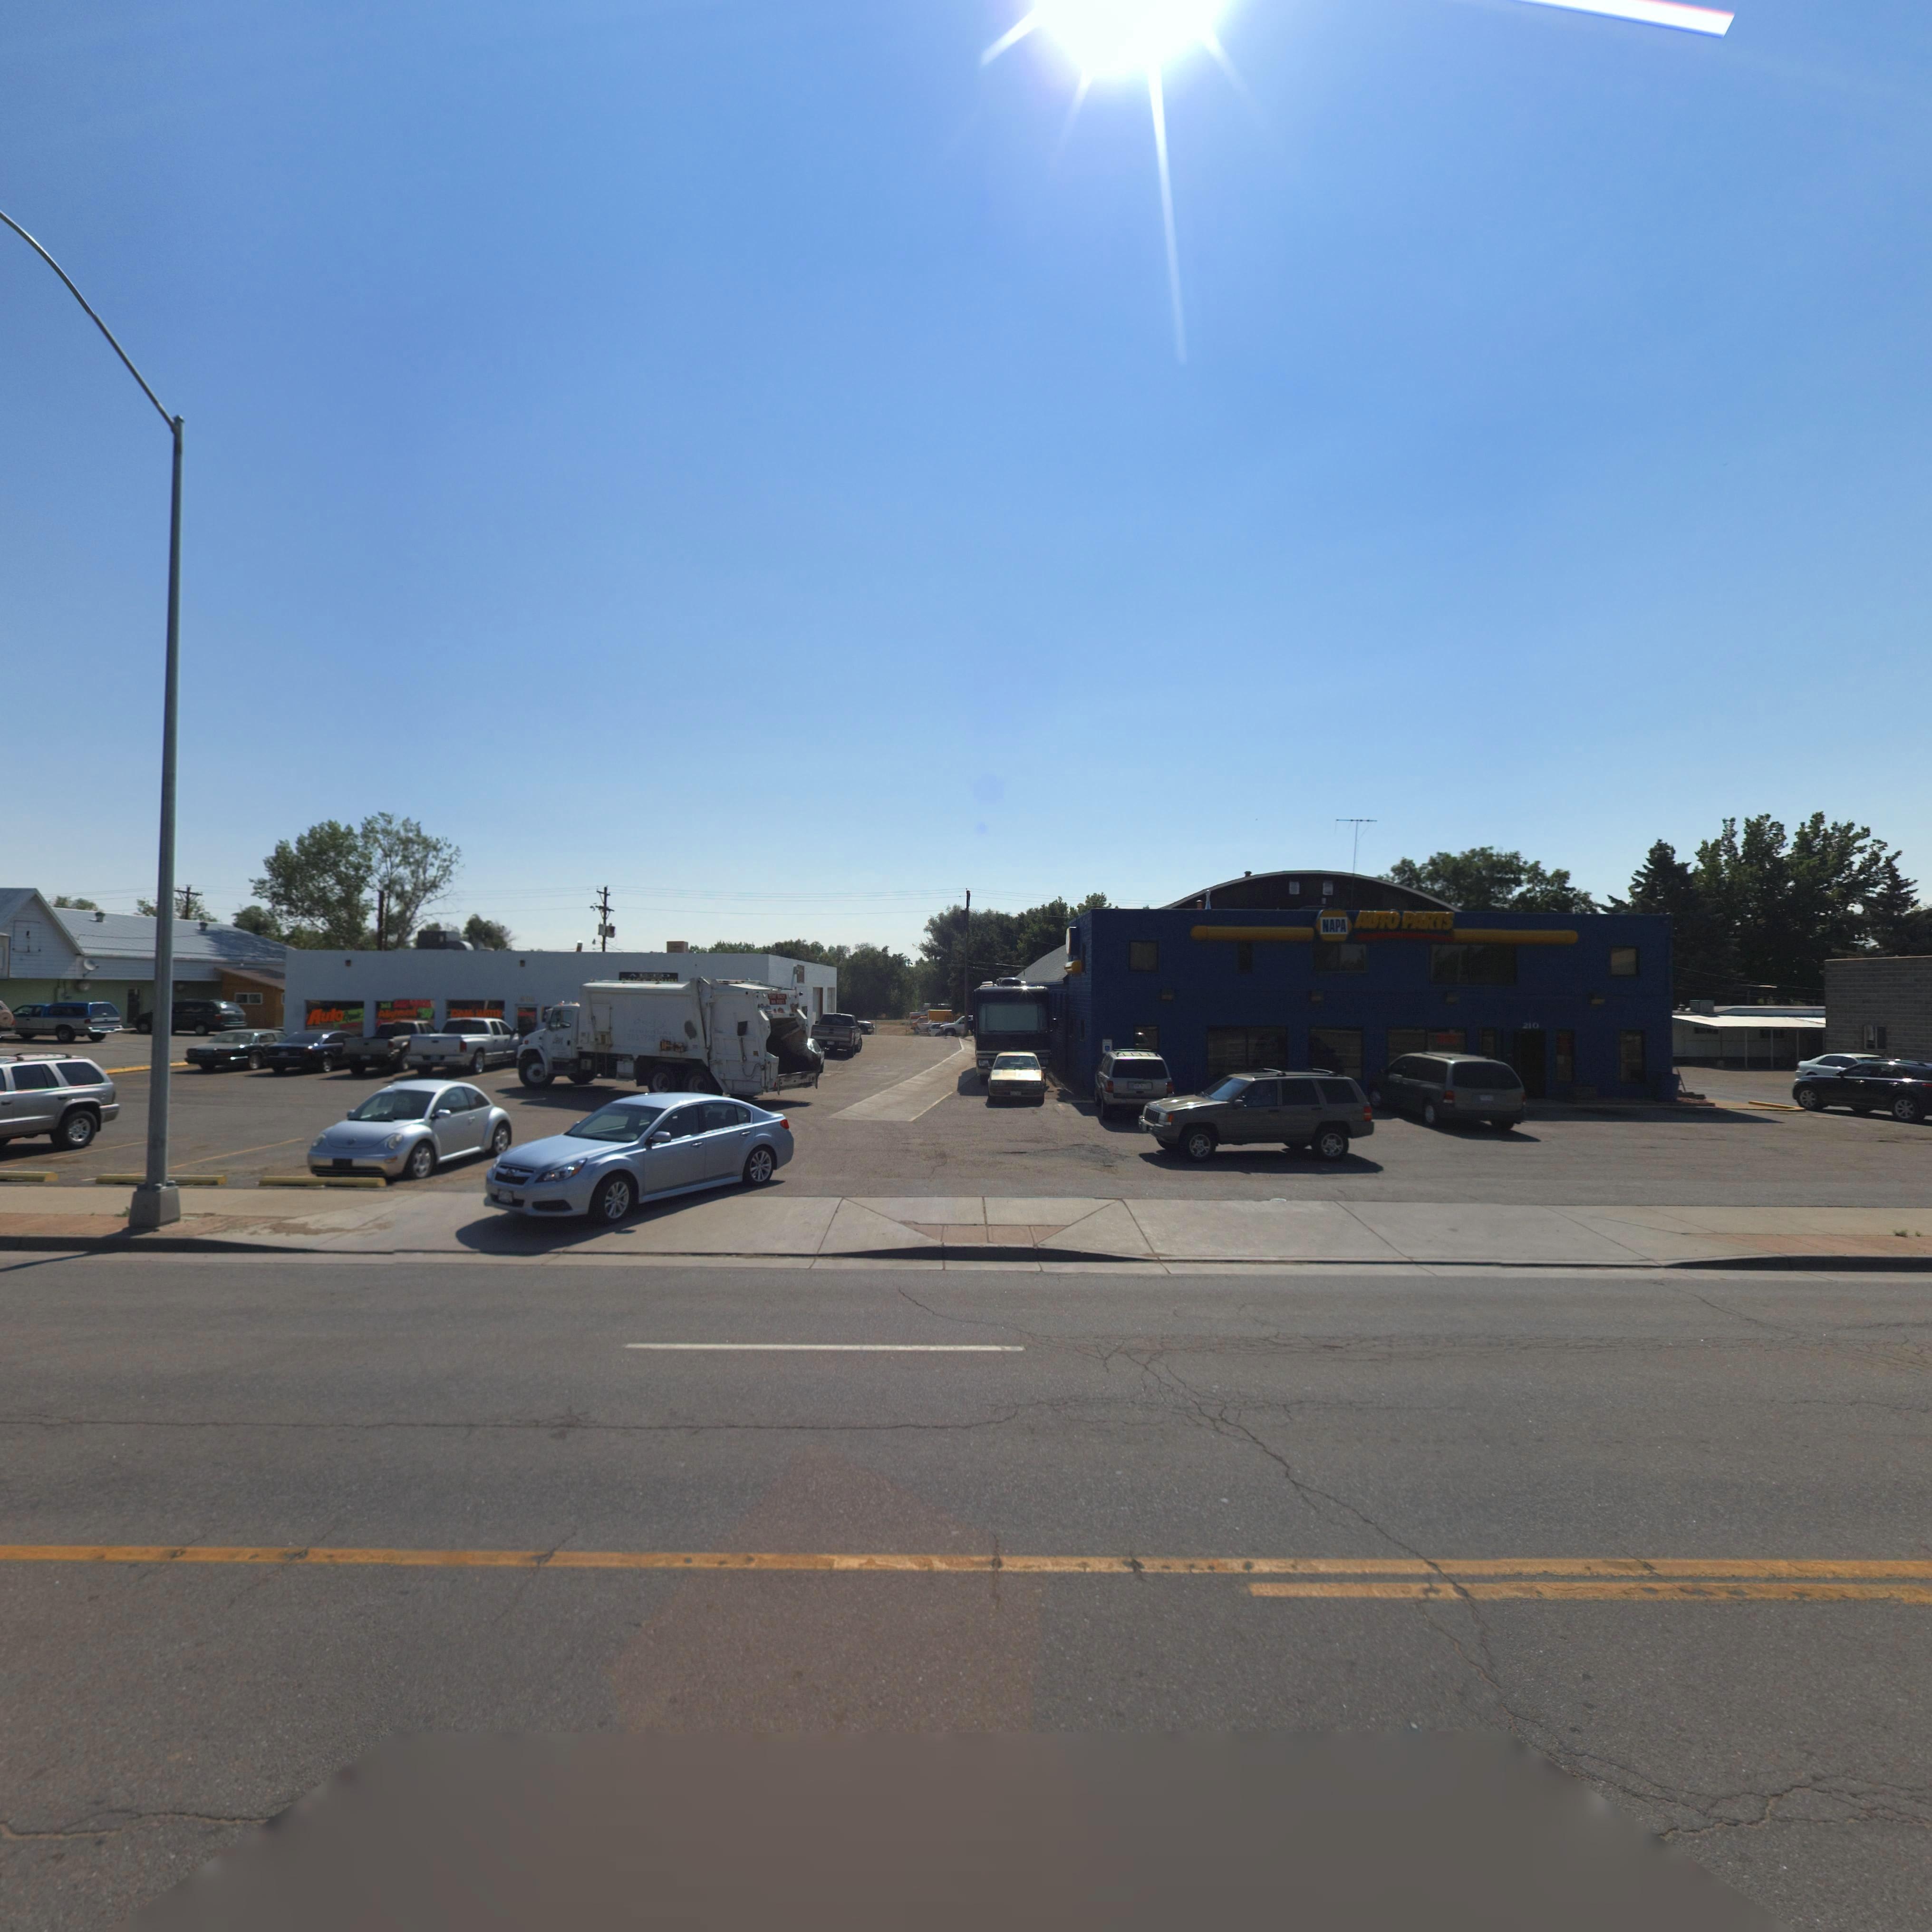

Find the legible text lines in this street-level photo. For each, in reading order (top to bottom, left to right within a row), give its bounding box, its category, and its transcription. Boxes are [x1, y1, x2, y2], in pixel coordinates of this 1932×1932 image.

[1321, 918, 1347, 933] BusinessName: NAPA
[1522, 1022, 1540, 1029] StreetNumber: 210